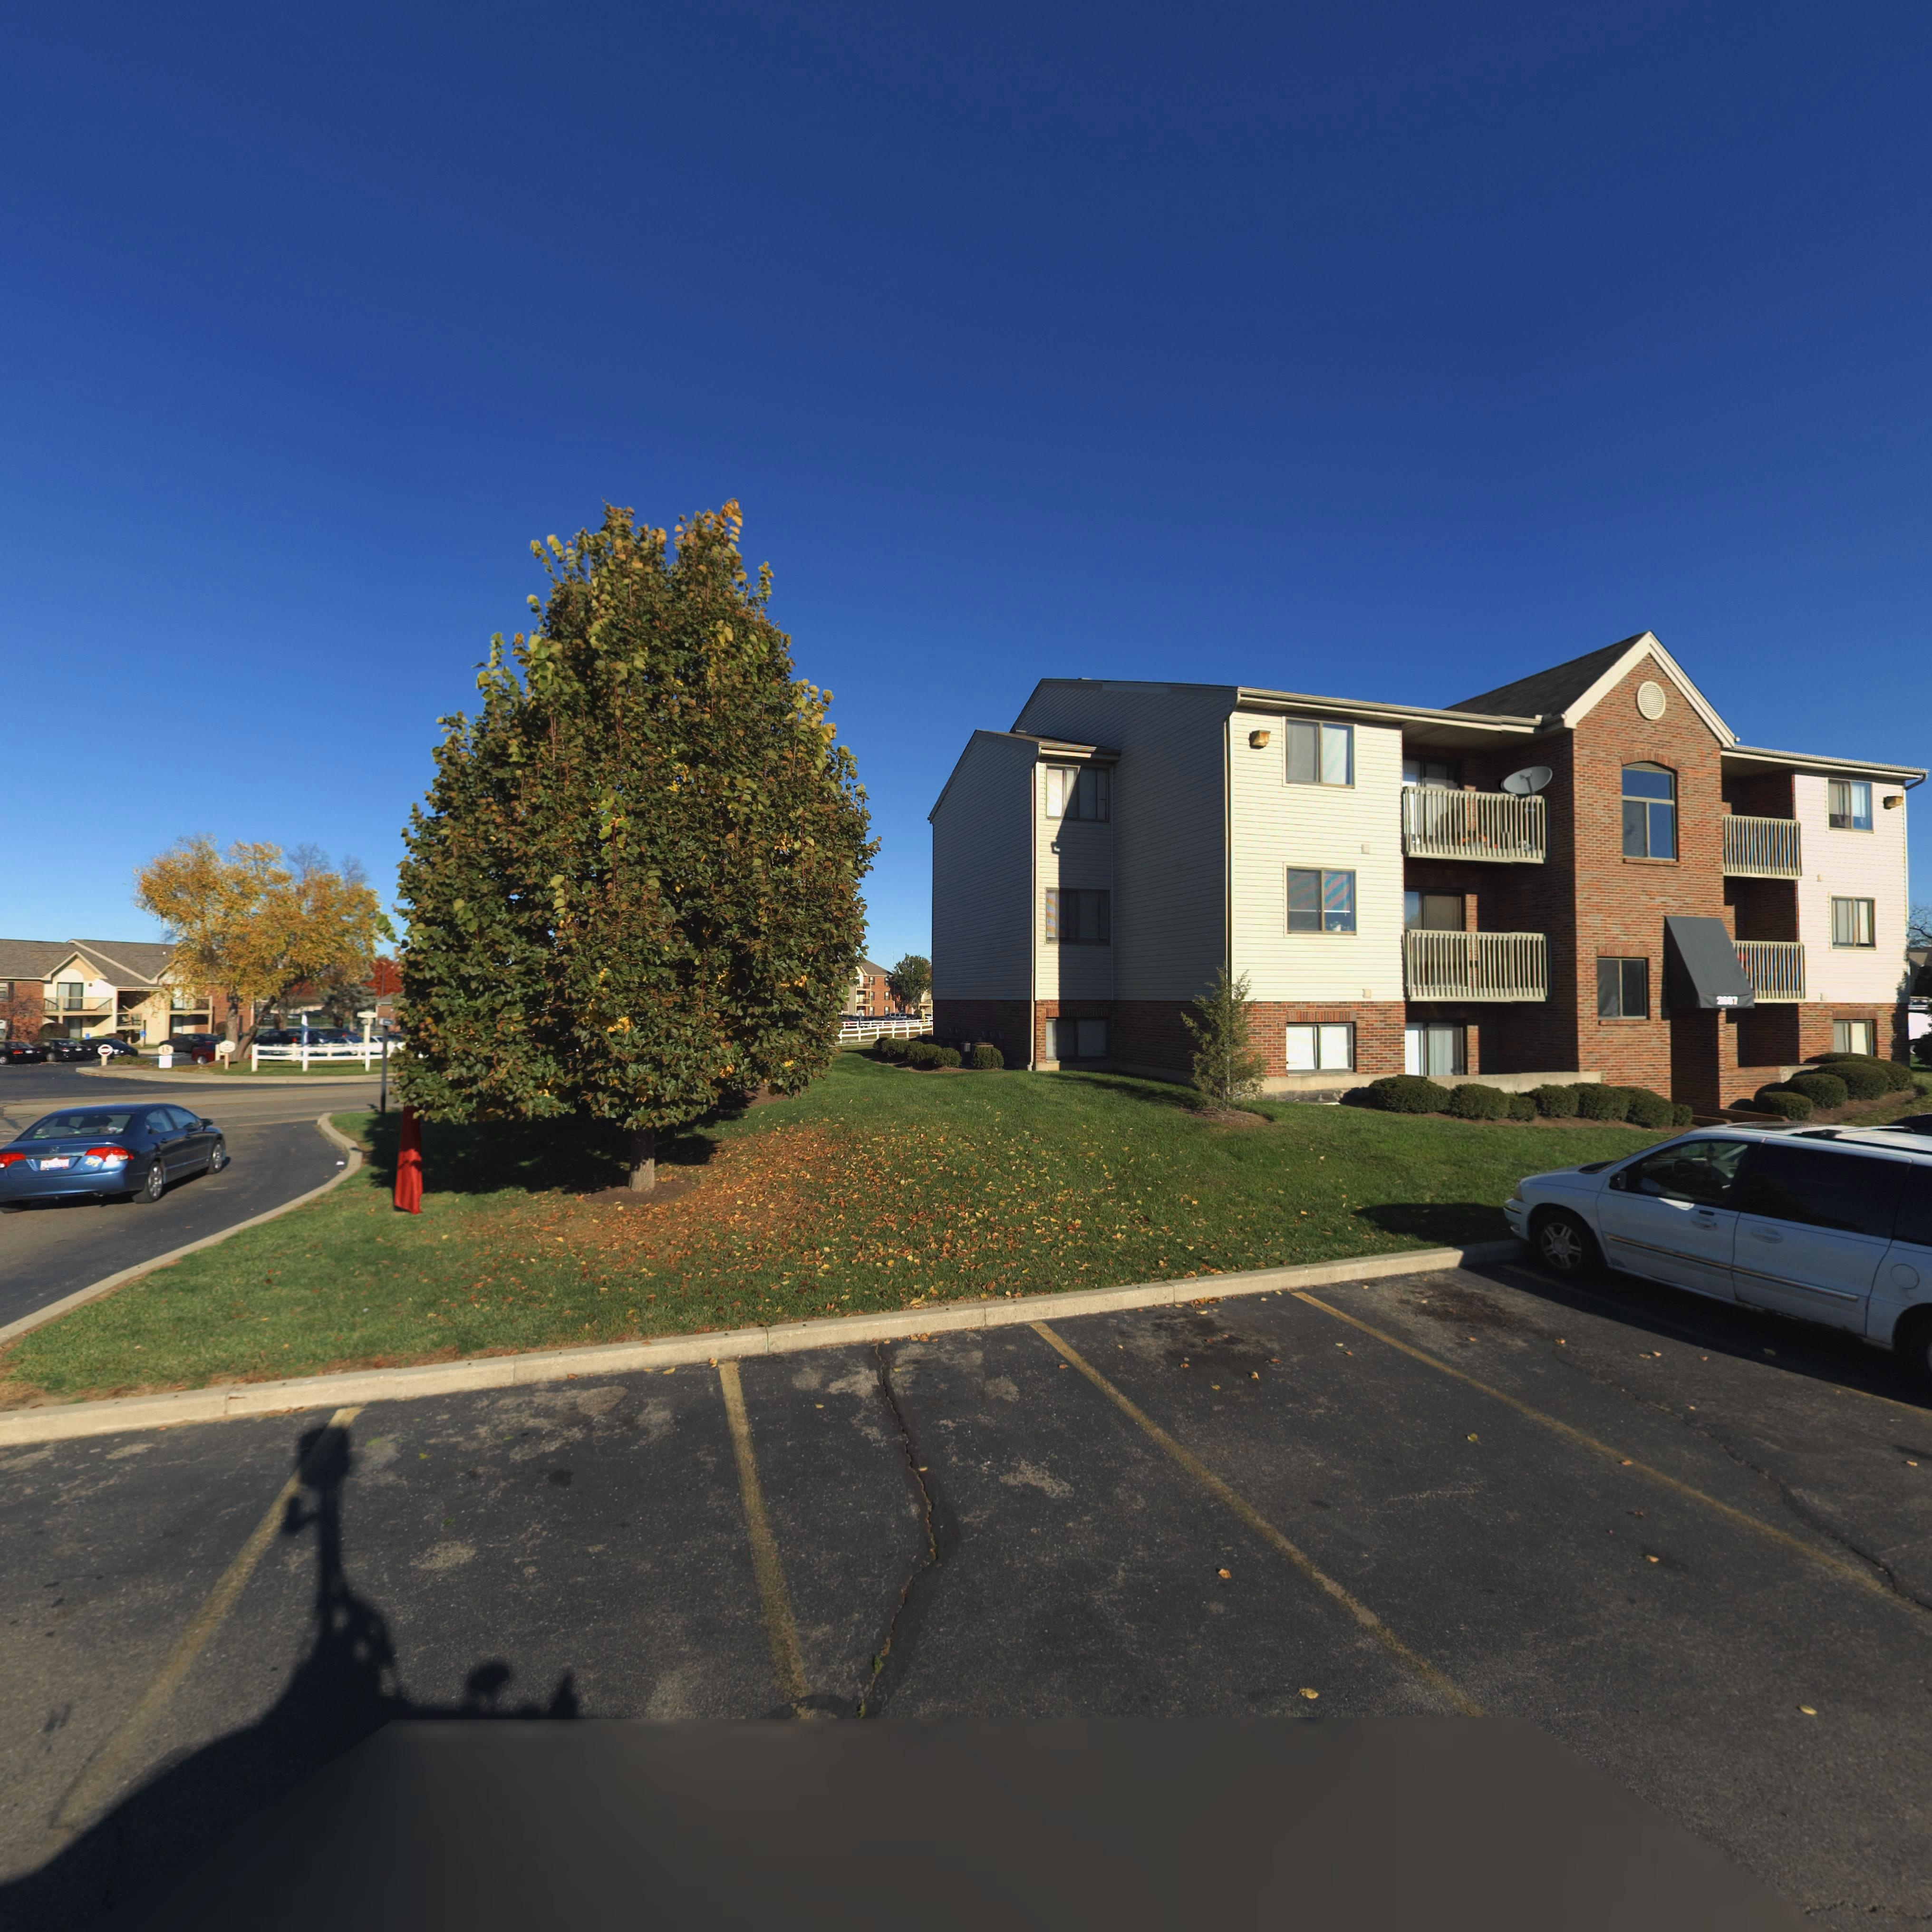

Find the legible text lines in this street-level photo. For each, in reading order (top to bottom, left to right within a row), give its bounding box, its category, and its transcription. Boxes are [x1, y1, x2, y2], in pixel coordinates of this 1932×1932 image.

[1716, 995, 1739, 1006] StreetNumber: ***7